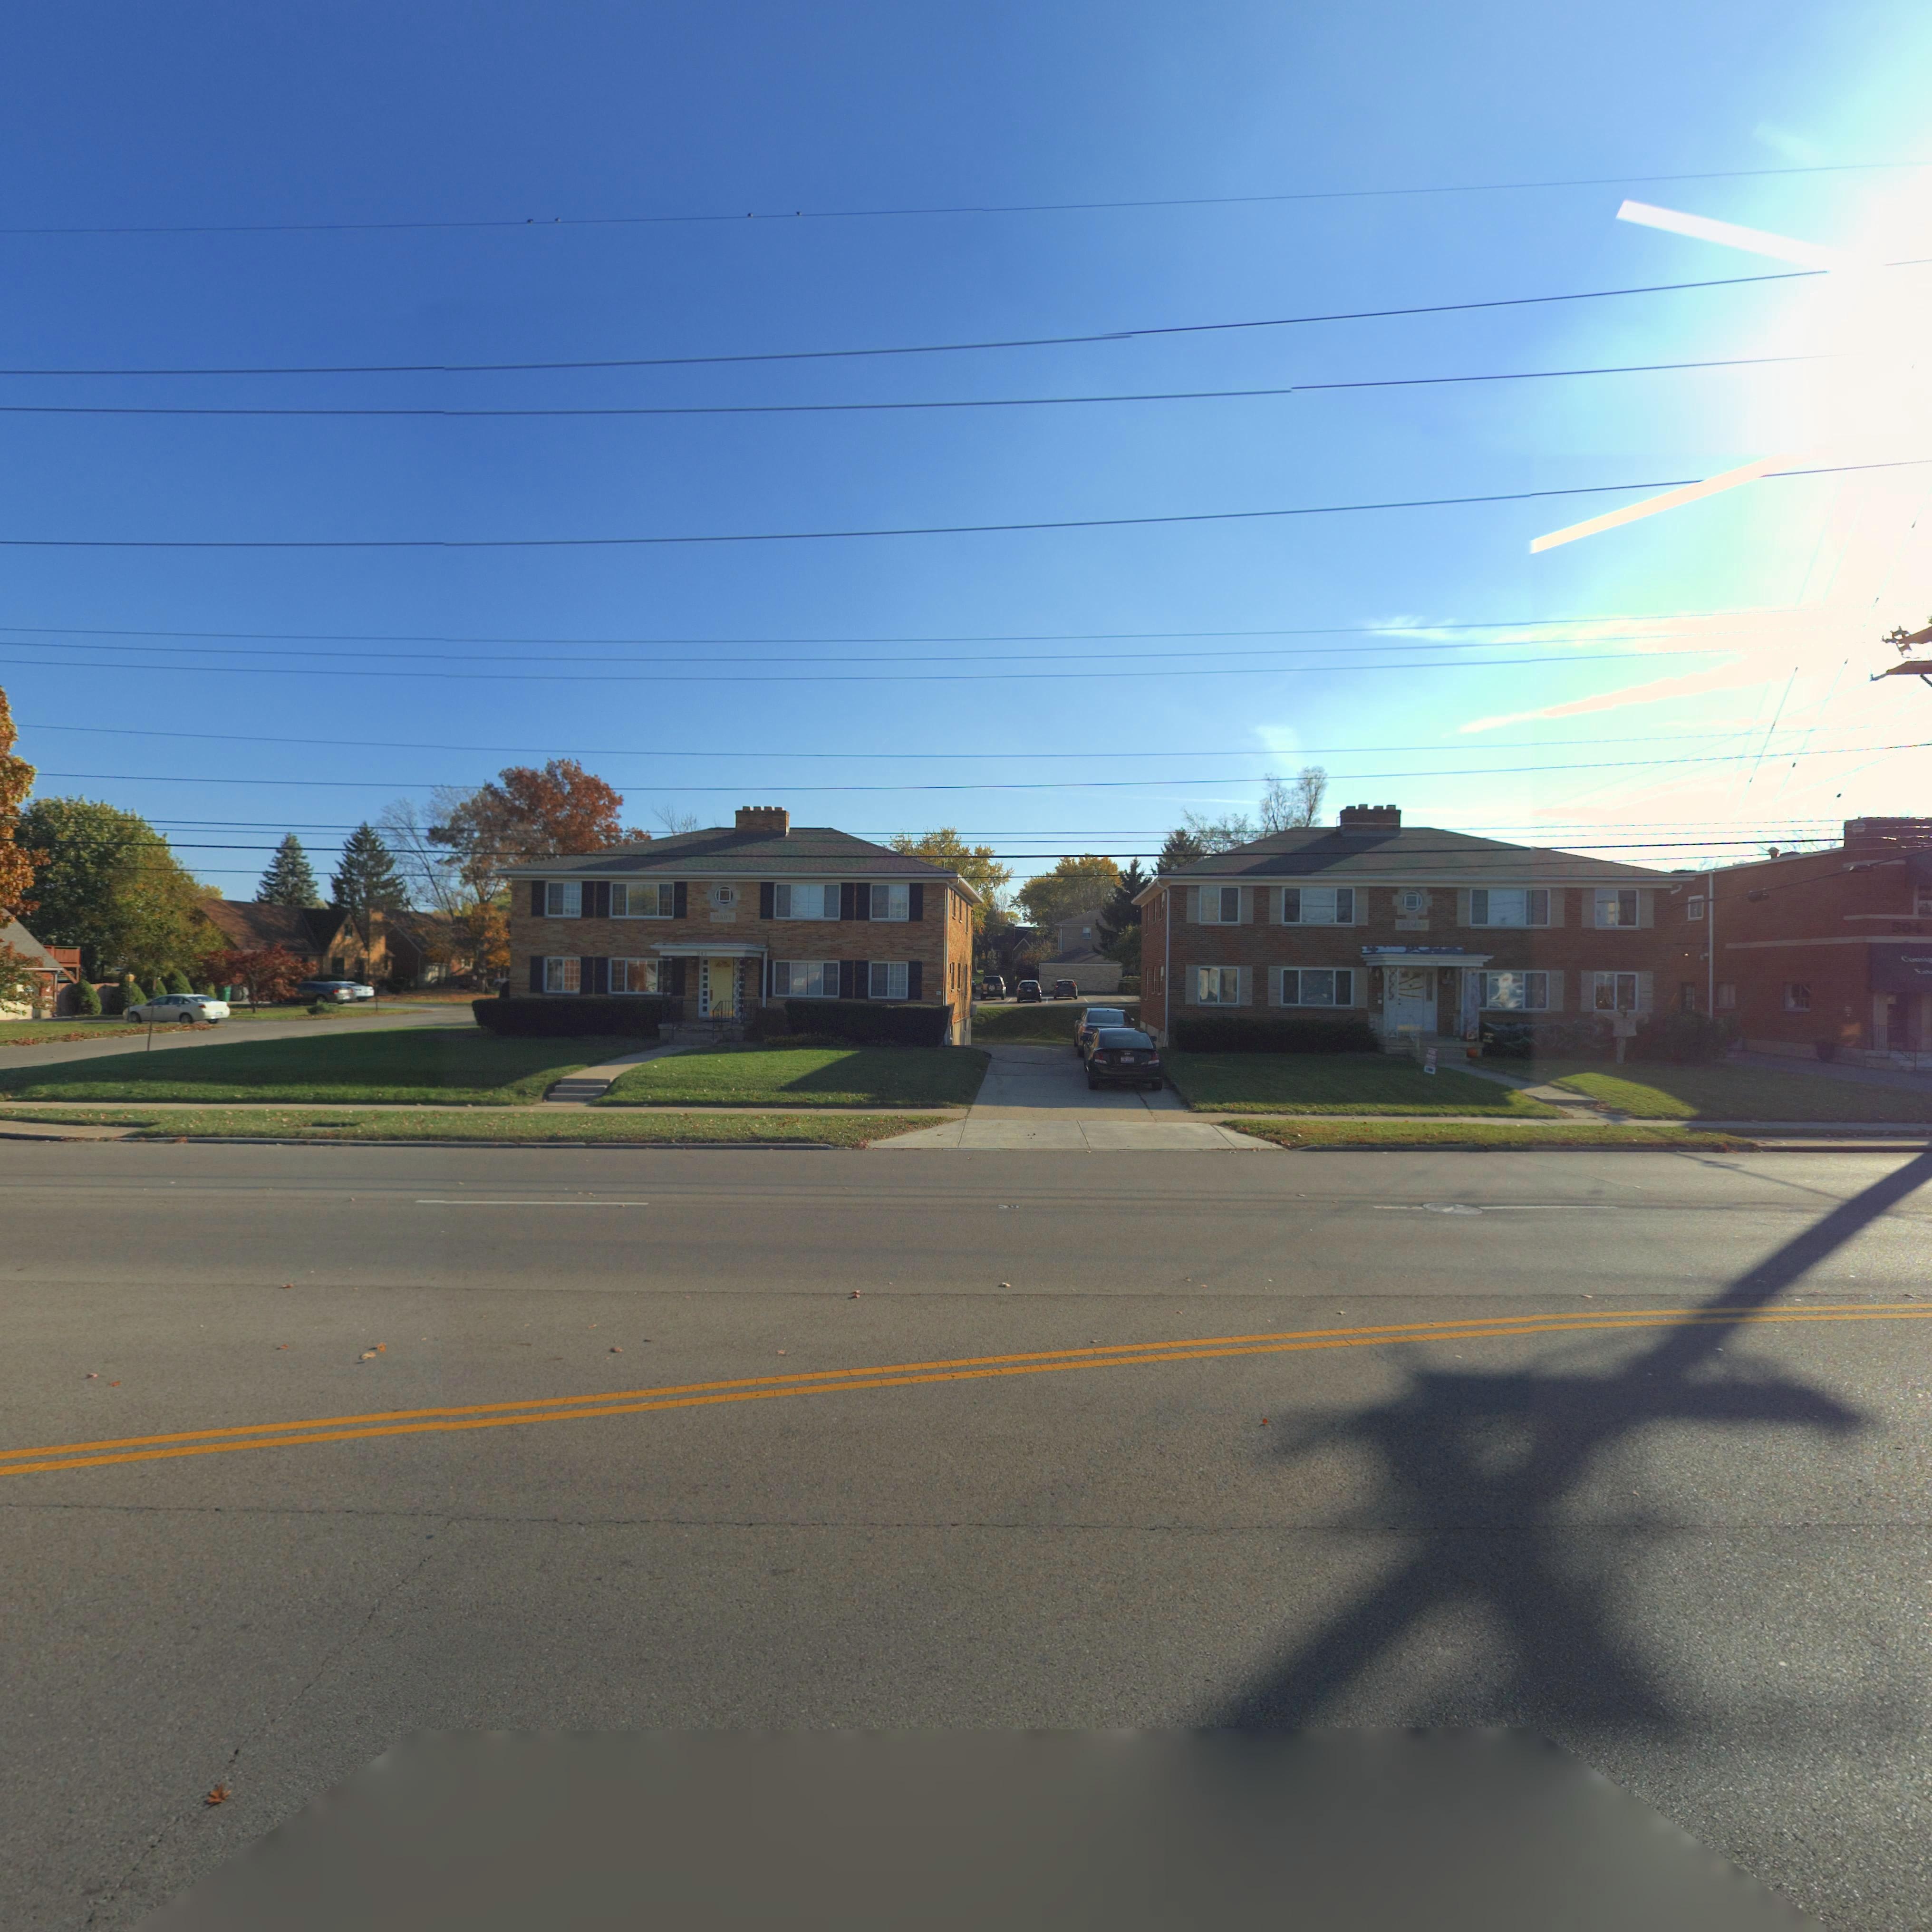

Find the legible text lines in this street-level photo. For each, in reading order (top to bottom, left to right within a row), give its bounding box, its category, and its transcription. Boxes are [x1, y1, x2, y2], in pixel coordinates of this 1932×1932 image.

[696, 950, 708, 956] StreetNumber: 542